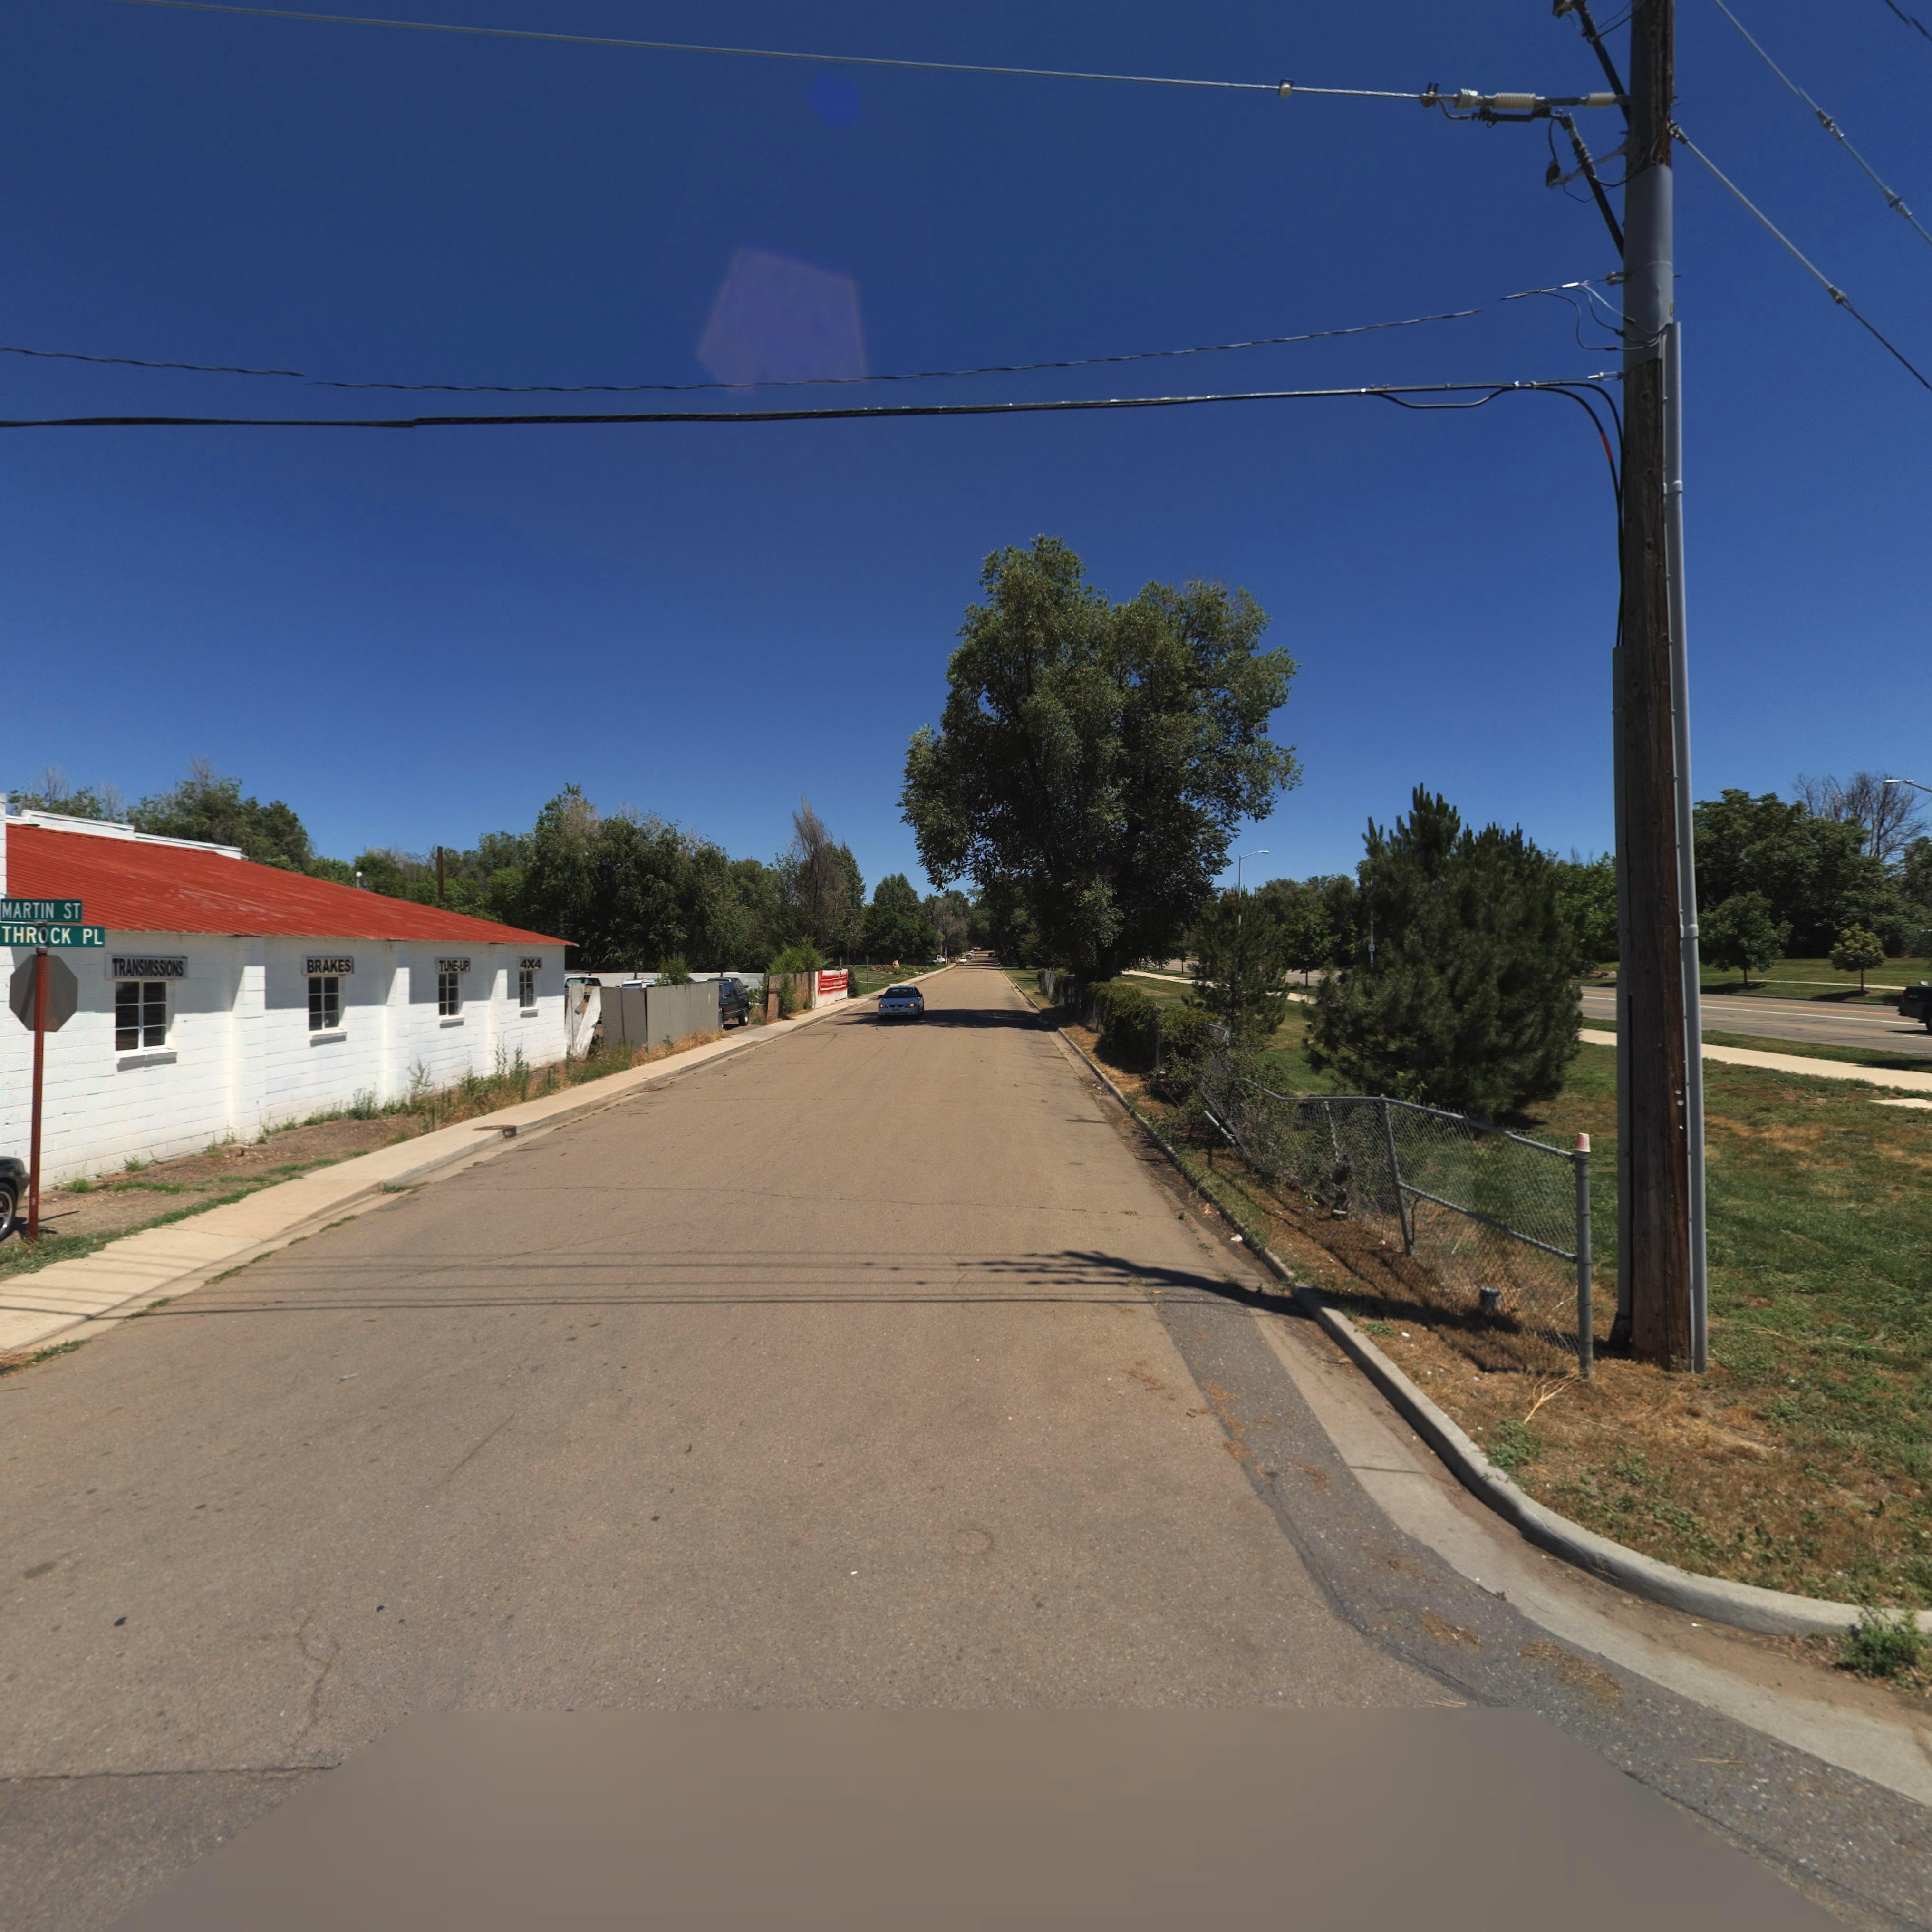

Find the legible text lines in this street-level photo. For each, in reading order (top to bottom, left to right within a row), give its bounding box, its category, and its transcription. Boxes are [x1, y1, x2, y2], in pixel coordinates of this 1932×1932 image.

[1, 901, 81, 919] StreetName: MARTIN ST
[0, 925, 104, 945] StreetName: THROCK PL